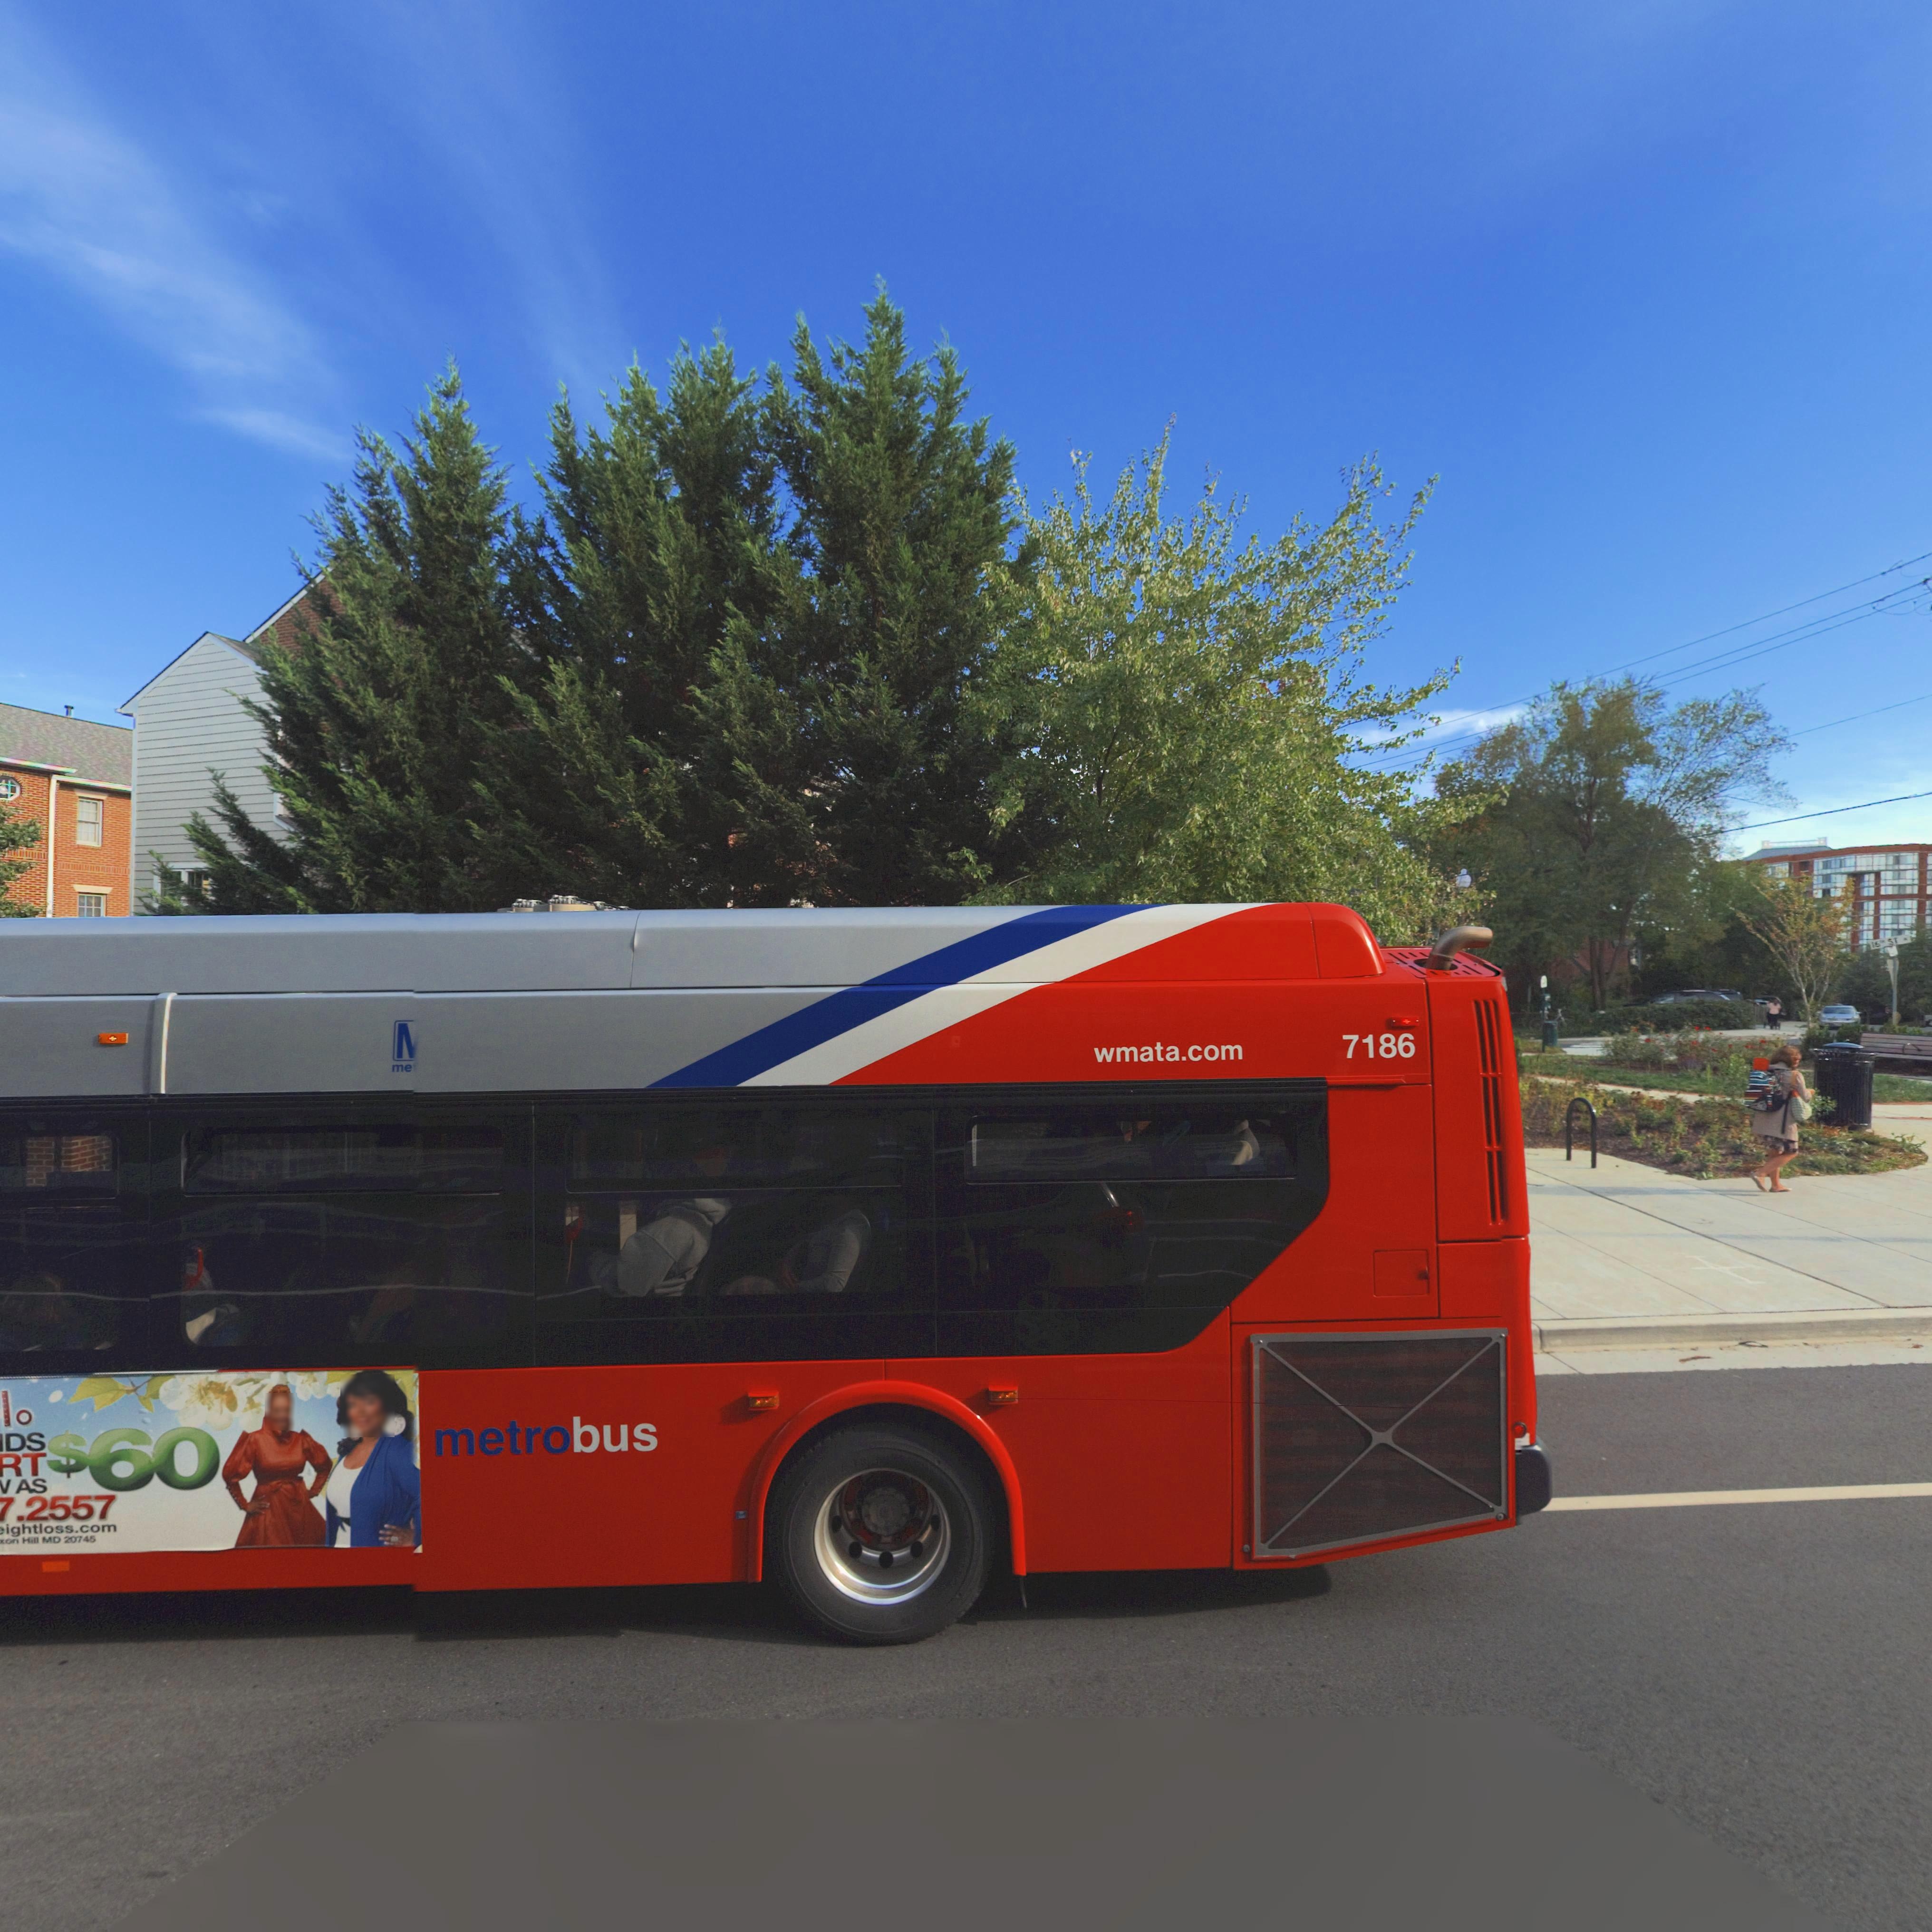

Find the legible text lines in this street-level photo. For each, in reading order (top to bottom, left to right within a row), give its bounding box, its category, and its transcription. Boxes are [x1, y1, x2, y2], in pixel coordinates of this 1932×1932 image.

[1870, 935, 1901, 950] StreetName: 16** ST
[1091, 1038, 1245, 1065] None: wmata.com
[1340, 1031, 1418, 1061] None: 7186
[391, 1063, 413, 1073] None: me
[0, 1388, 34, 1429] None: lo
[3, 1430, 48, 1454] None: DS
[432, 1413, 660, 1460] None: metrobus
[19, 1450, 49, 1479] None: T
[85, 1423, 224, 1494] None: 60
[12, 1476, 50, 1497] None: AS
[24, 1493, 119, 1523] None: 2557
[21, 1534, 97, 1546] None: Hill MD 20745
[5, 1521, 119, 1539] None: ightloss.com